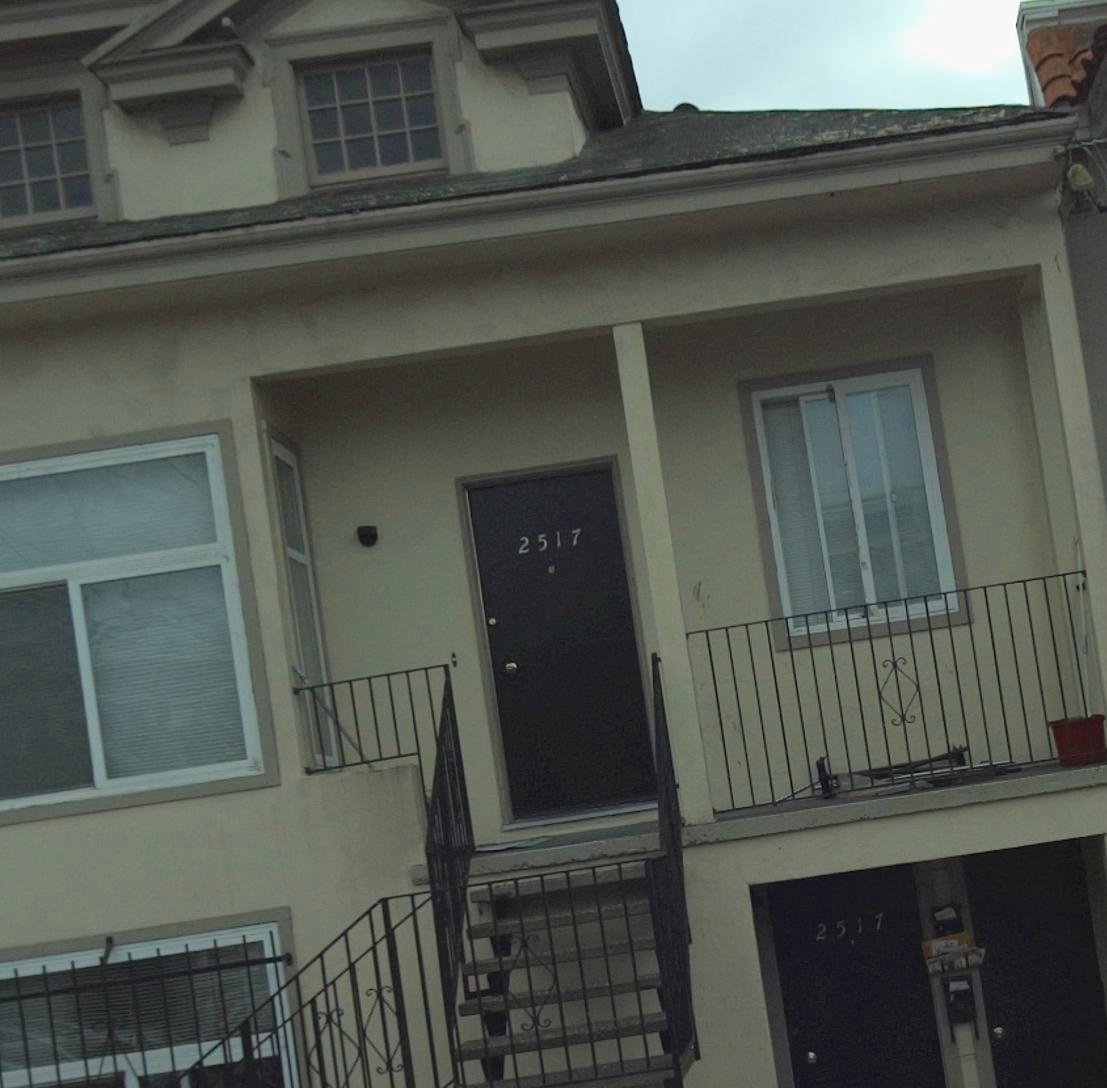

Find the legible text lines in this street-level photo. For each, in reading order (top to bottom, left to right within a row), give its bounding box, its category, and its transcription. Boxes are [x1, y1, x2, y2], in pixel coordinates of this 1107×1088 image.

[515, 525, 582, 557] StreetNumber: 2517
[814, 909, 885, 943] StreetNumber: 2517